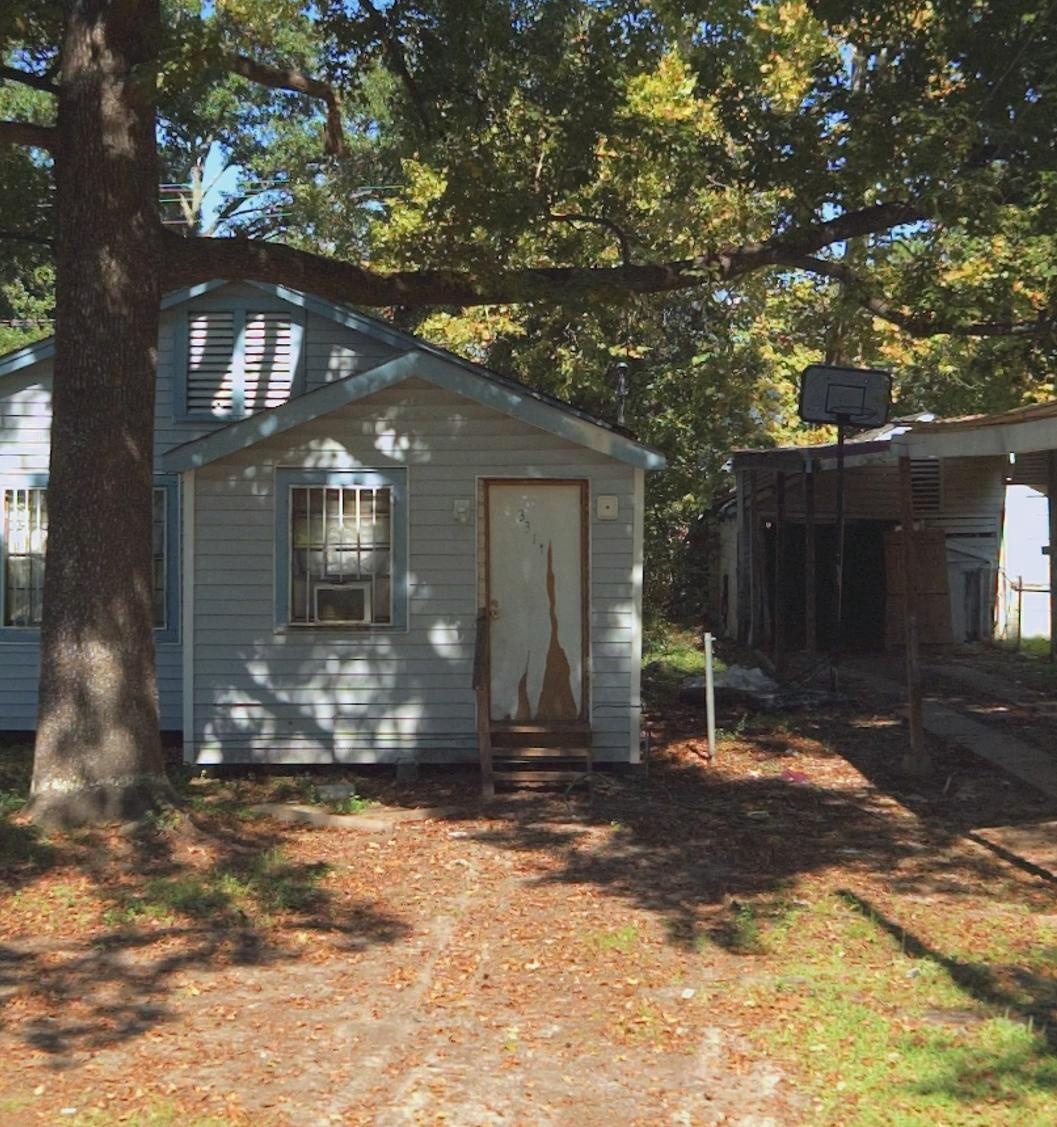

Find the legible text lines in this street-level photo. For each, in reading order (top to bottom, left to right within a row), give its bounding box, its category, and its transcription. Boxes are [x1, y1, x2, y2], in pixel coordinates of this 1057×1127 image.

[518, 508, 545, 558] StreetNumber: 331*